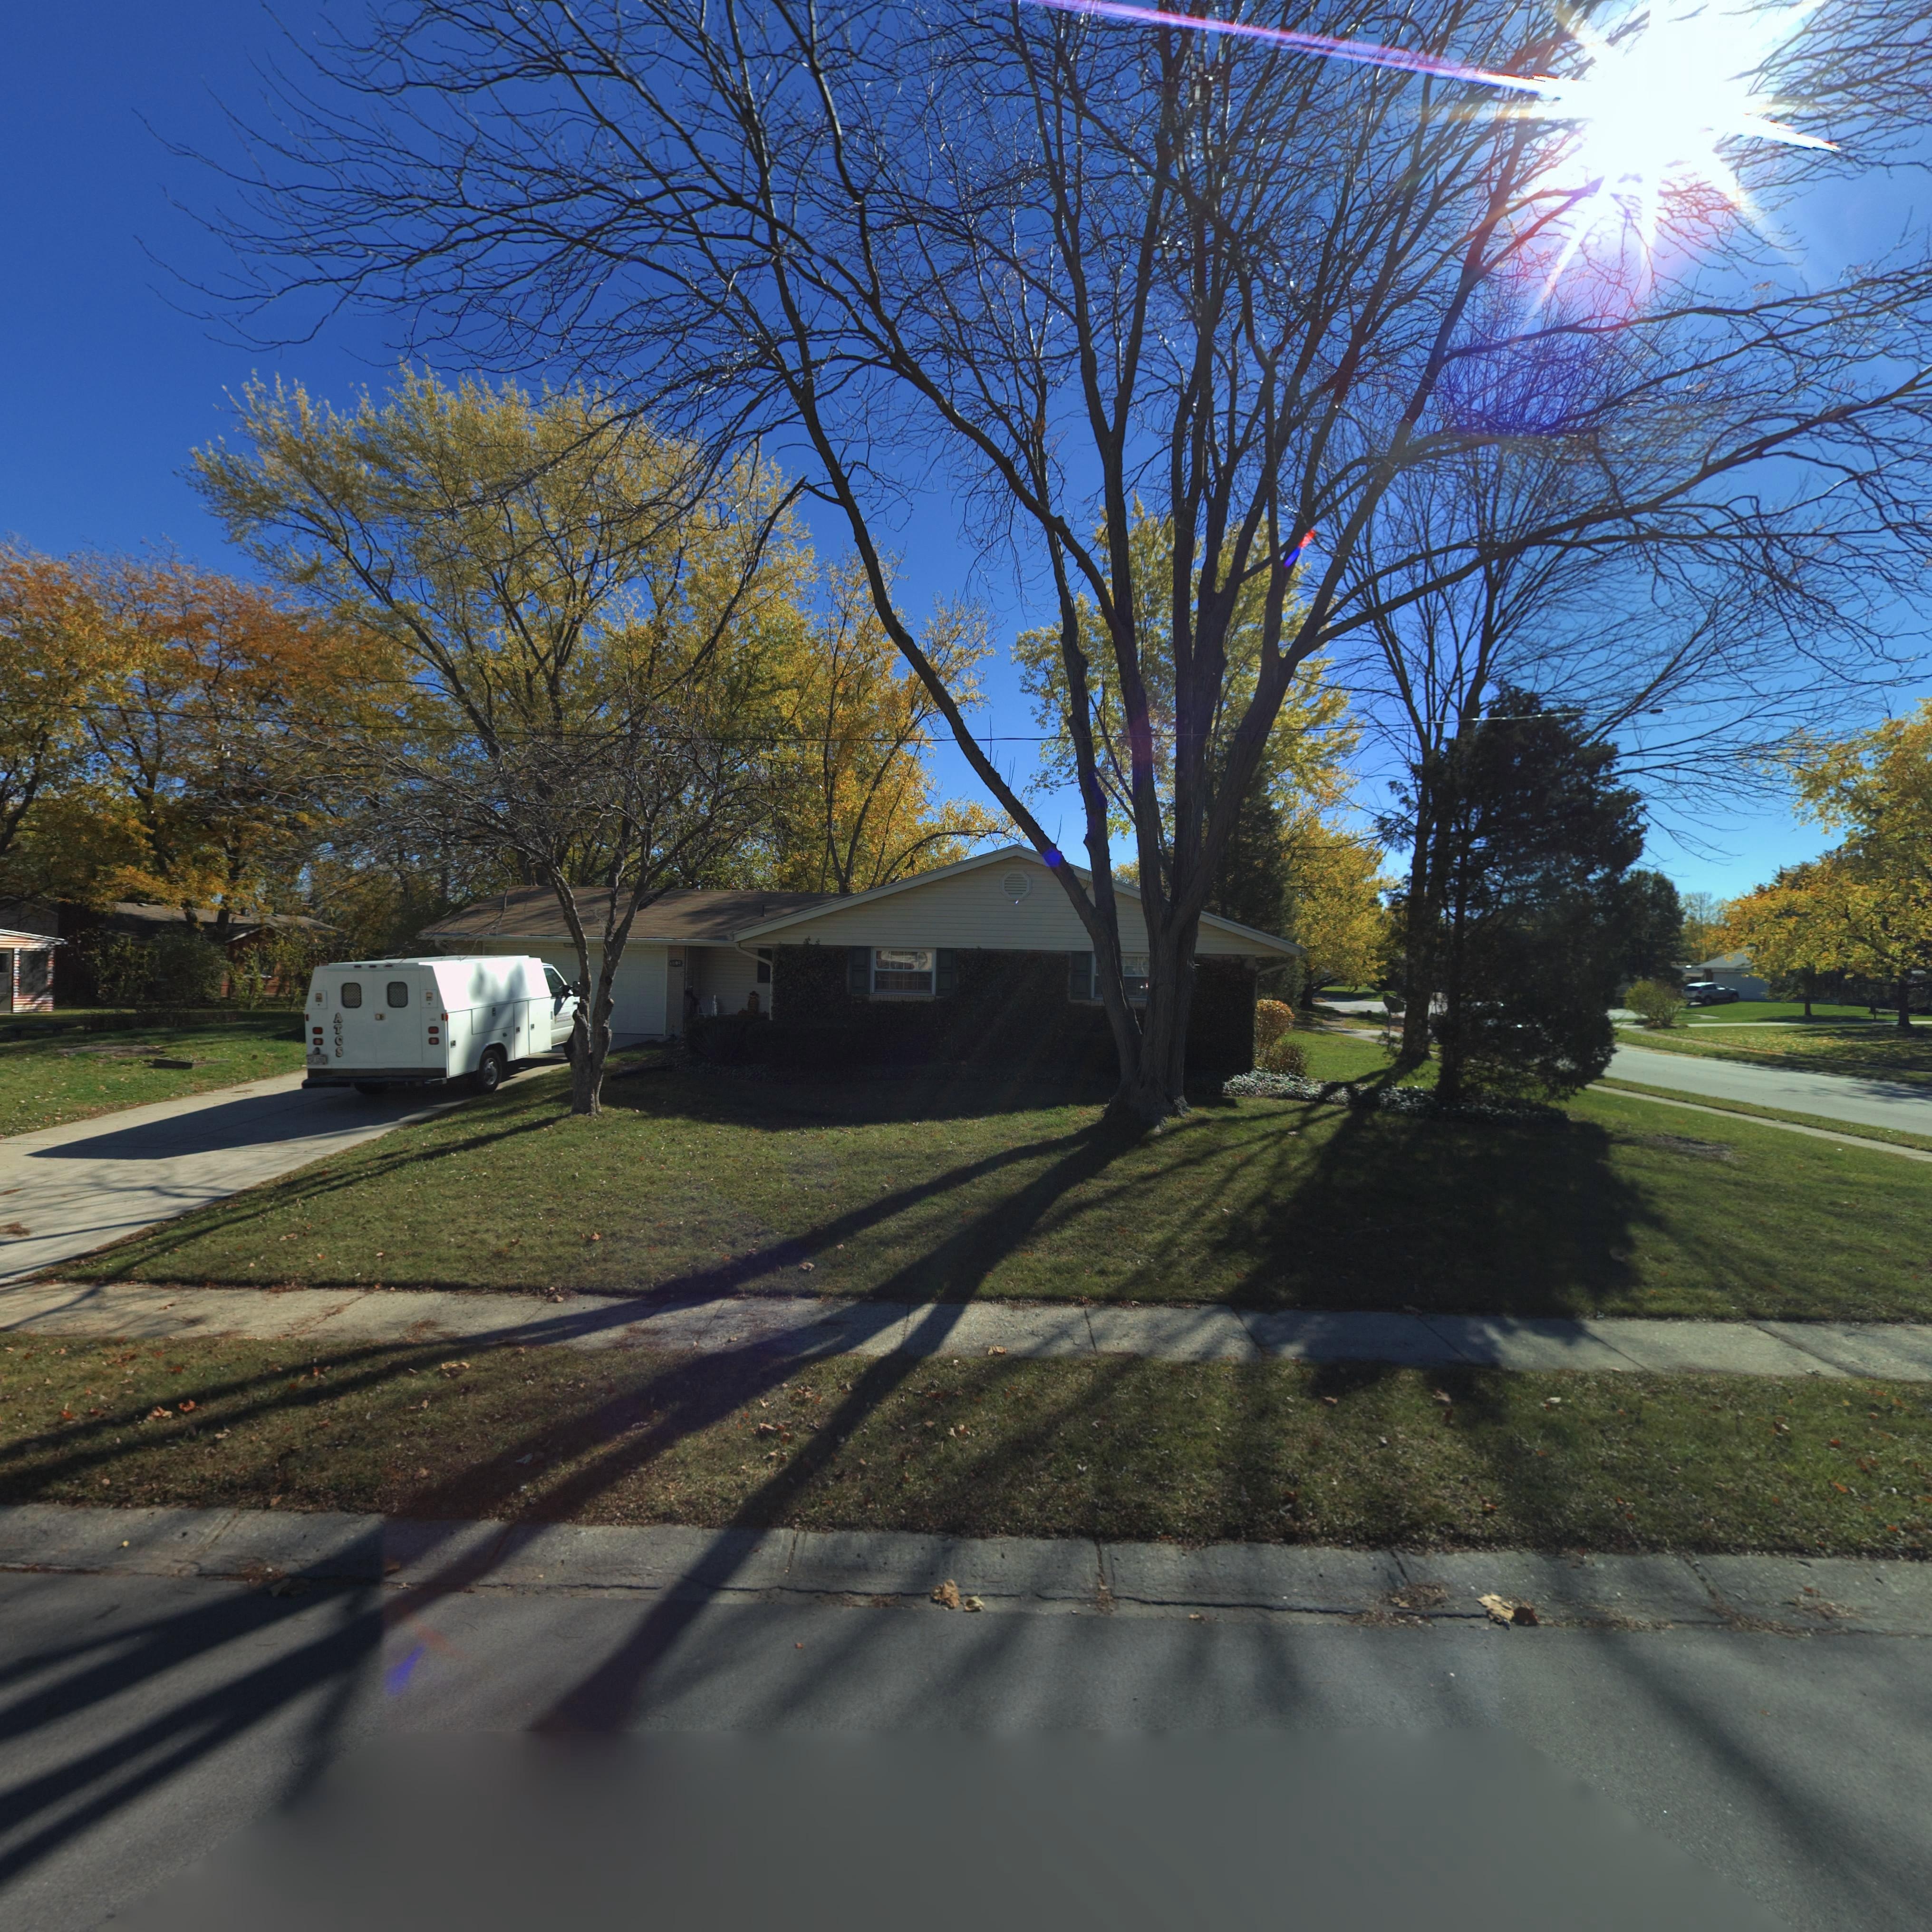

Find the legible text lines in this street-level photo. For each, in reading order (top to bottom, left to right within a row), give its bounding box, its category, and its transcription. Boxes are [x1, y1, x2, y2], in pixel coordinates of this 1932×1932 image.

[669, 960, 682, 966] StreetNumber: 1002